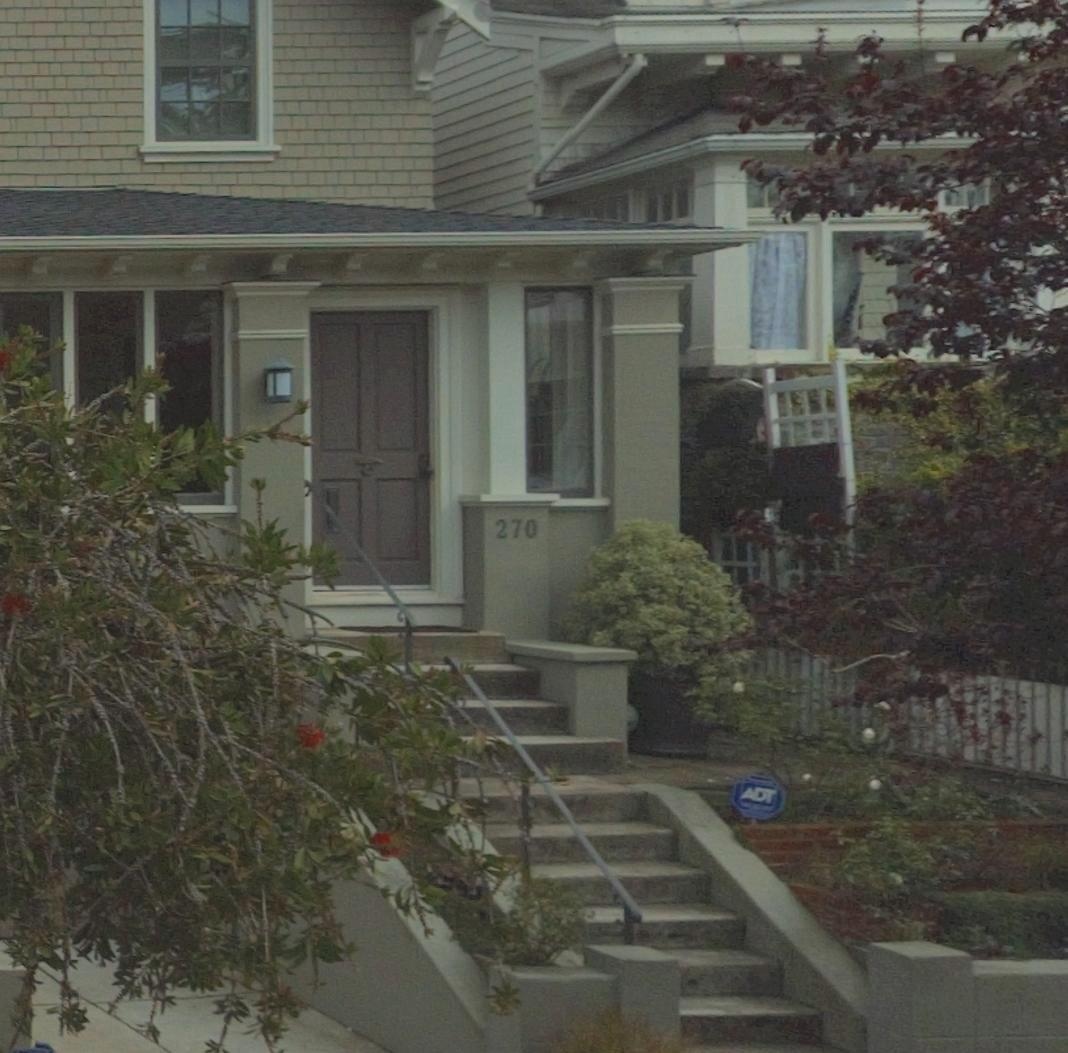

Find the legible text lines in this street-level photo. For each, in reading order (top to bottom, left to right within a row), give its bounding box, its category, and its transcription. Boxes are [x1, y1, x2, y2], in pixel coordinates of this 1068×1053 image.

[494, 518, 539, 539] StreetNumber: 270
[738, 785, 778, 805] None: ADT